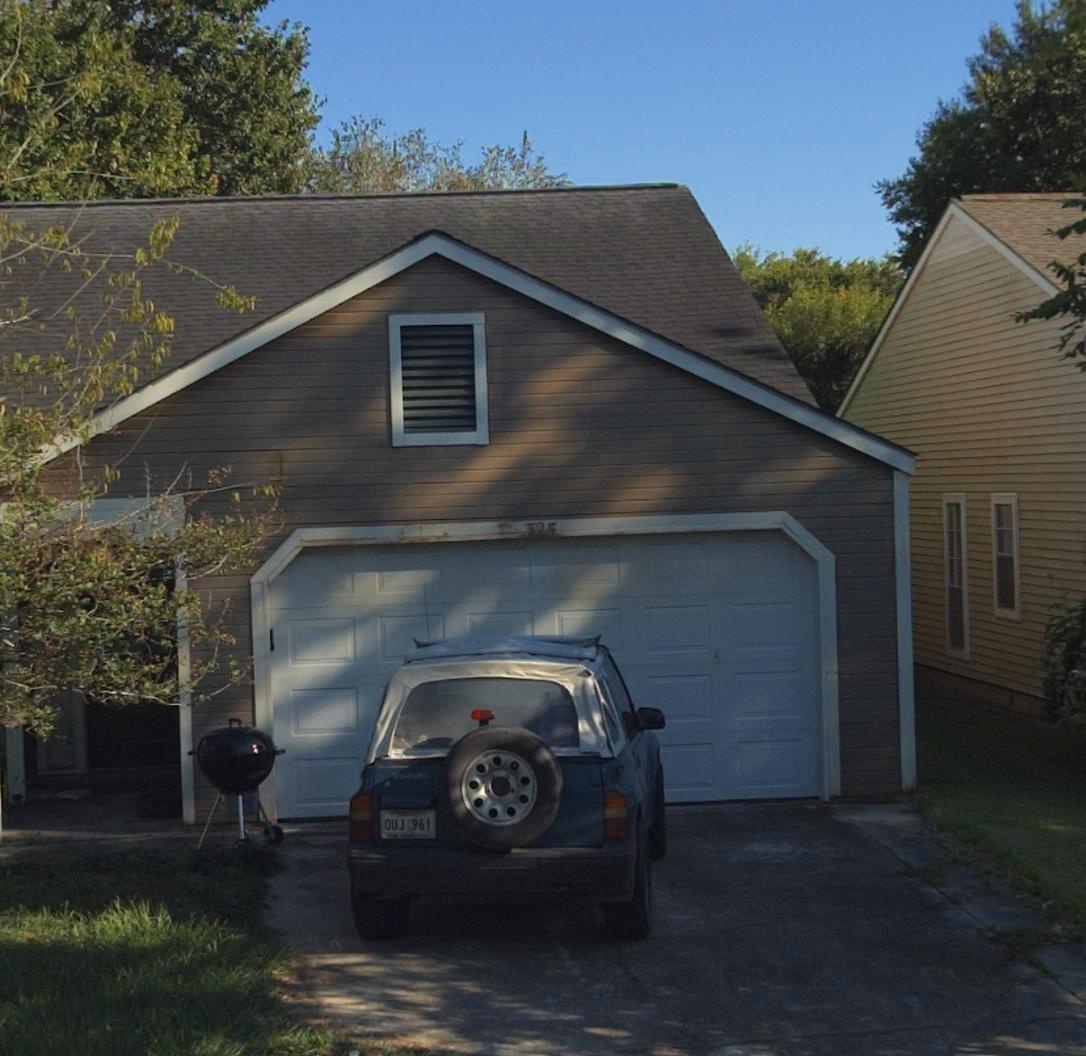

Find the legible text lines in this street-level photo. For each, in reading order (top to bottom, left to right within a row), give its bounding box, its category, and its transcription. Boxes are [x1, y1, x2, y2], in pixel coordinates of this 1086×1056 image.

[525, 520, 558, 537] StreetNumber: 325
[390, 771, 428, 780] None: SUZUKI
[384, 818, 431, 831] None: OUJ961